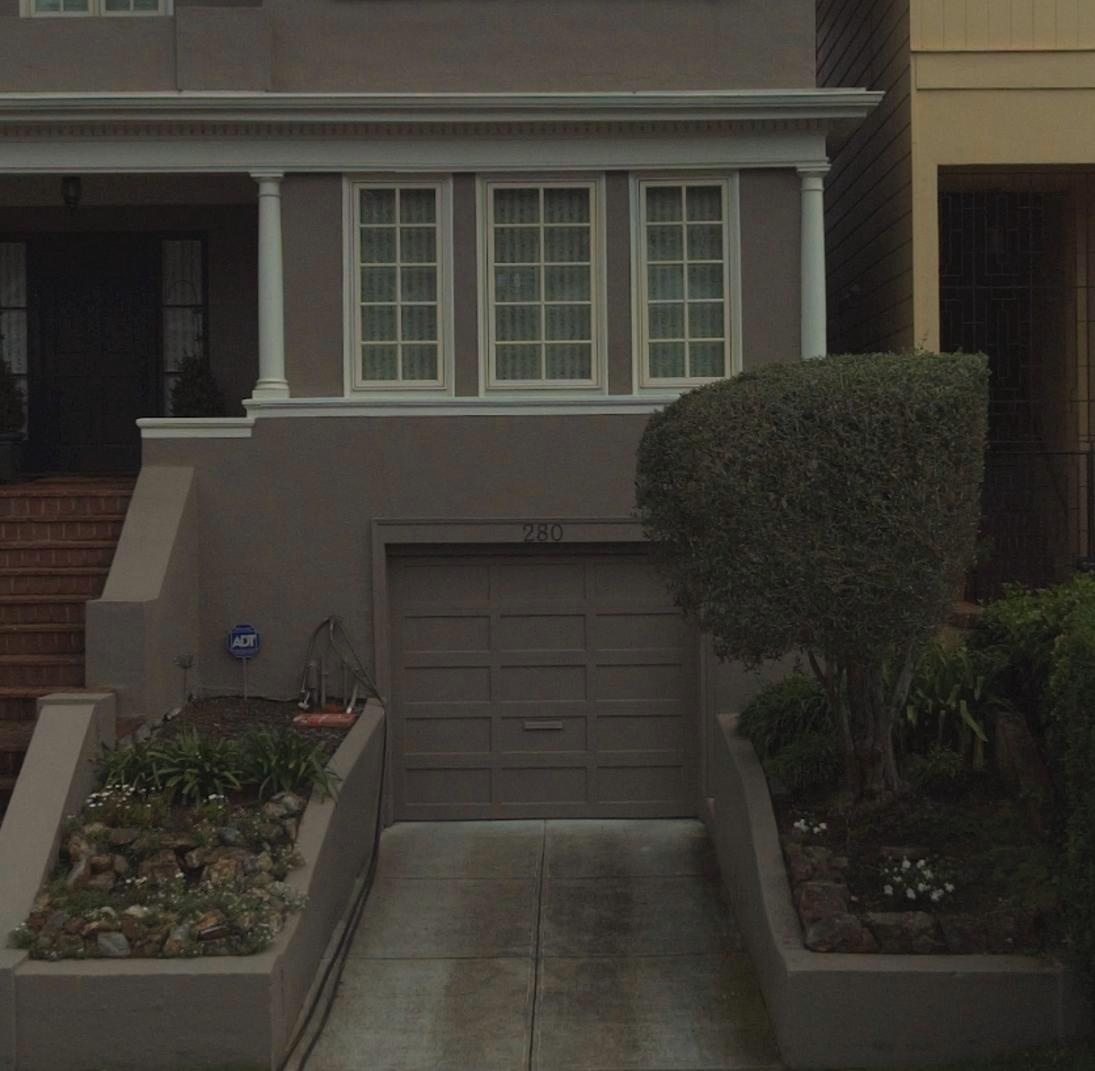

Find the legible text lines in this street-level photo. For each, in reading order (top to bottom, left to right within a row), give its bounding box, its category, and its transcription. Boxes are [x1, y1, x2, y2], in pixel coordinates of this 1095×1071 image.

[520, 521, 564, 544] StreetNumber: 280
[230, 633, 257, 649] None: ADT